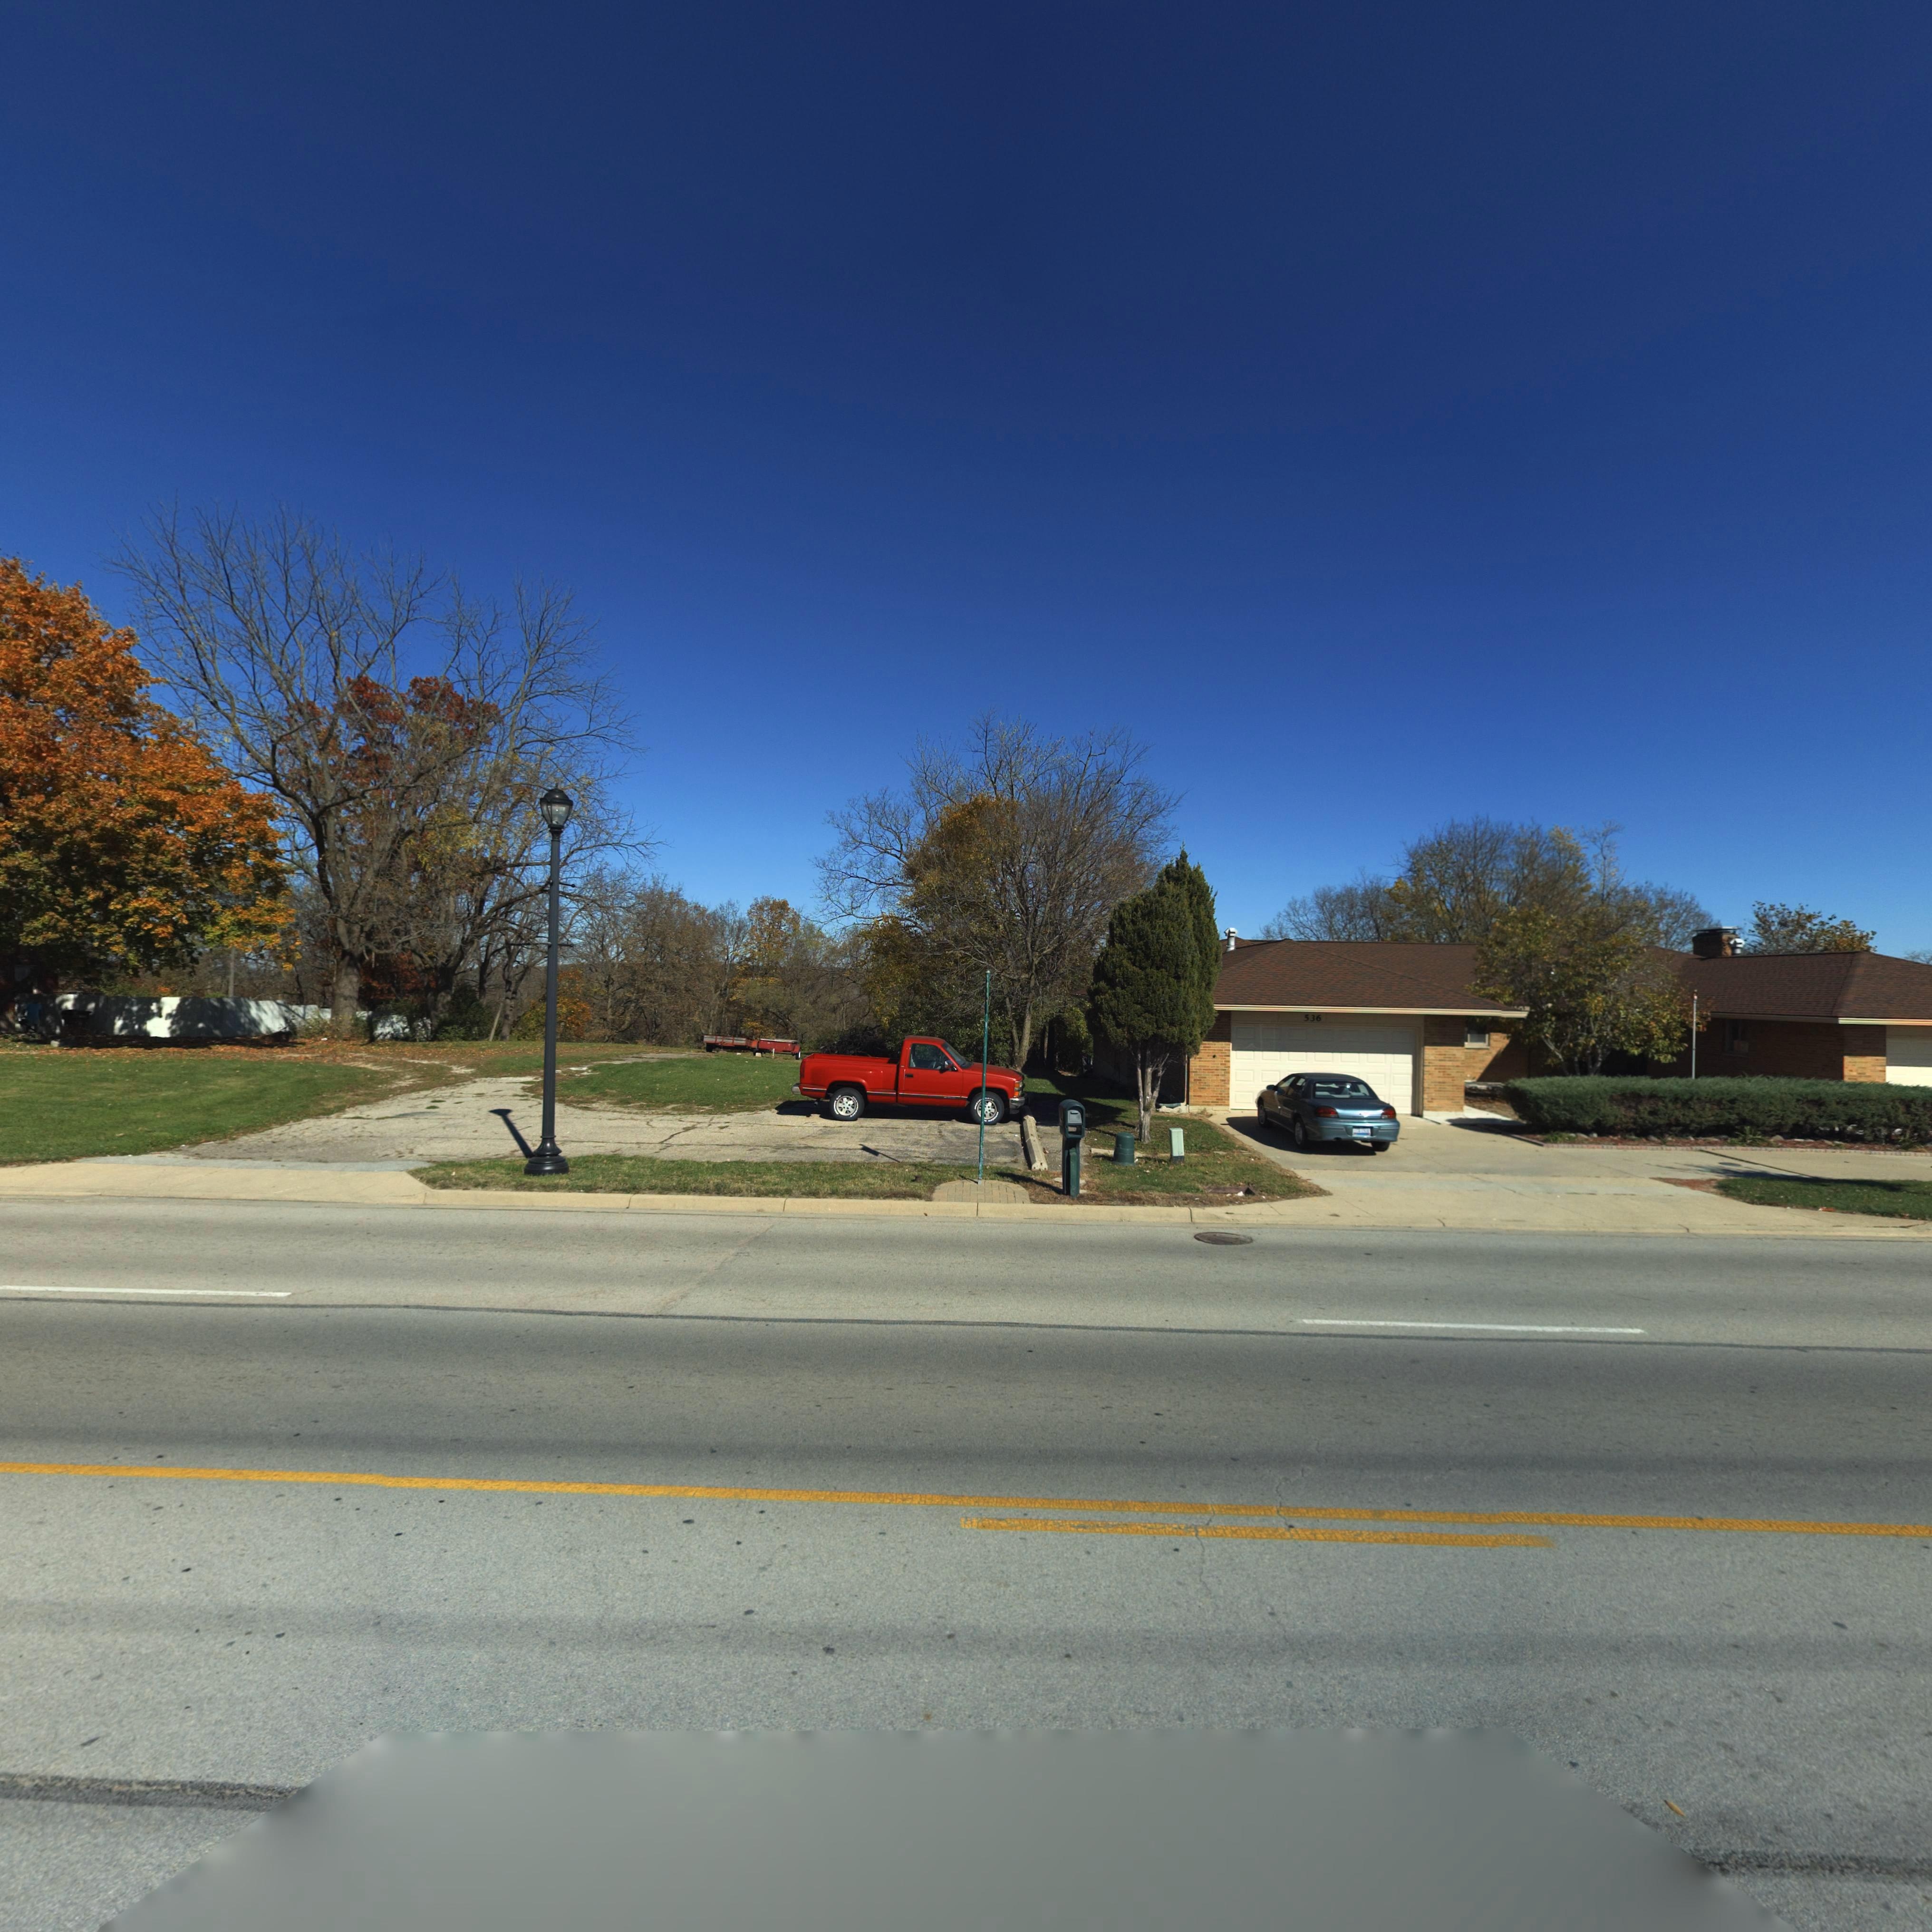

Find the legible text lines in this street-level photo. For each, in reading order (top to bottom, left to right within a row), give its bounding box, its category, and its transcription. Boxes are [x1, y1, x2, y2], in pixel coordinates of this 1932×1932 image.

[1303, 1013, 1323, 1023] StreetNumber: 536